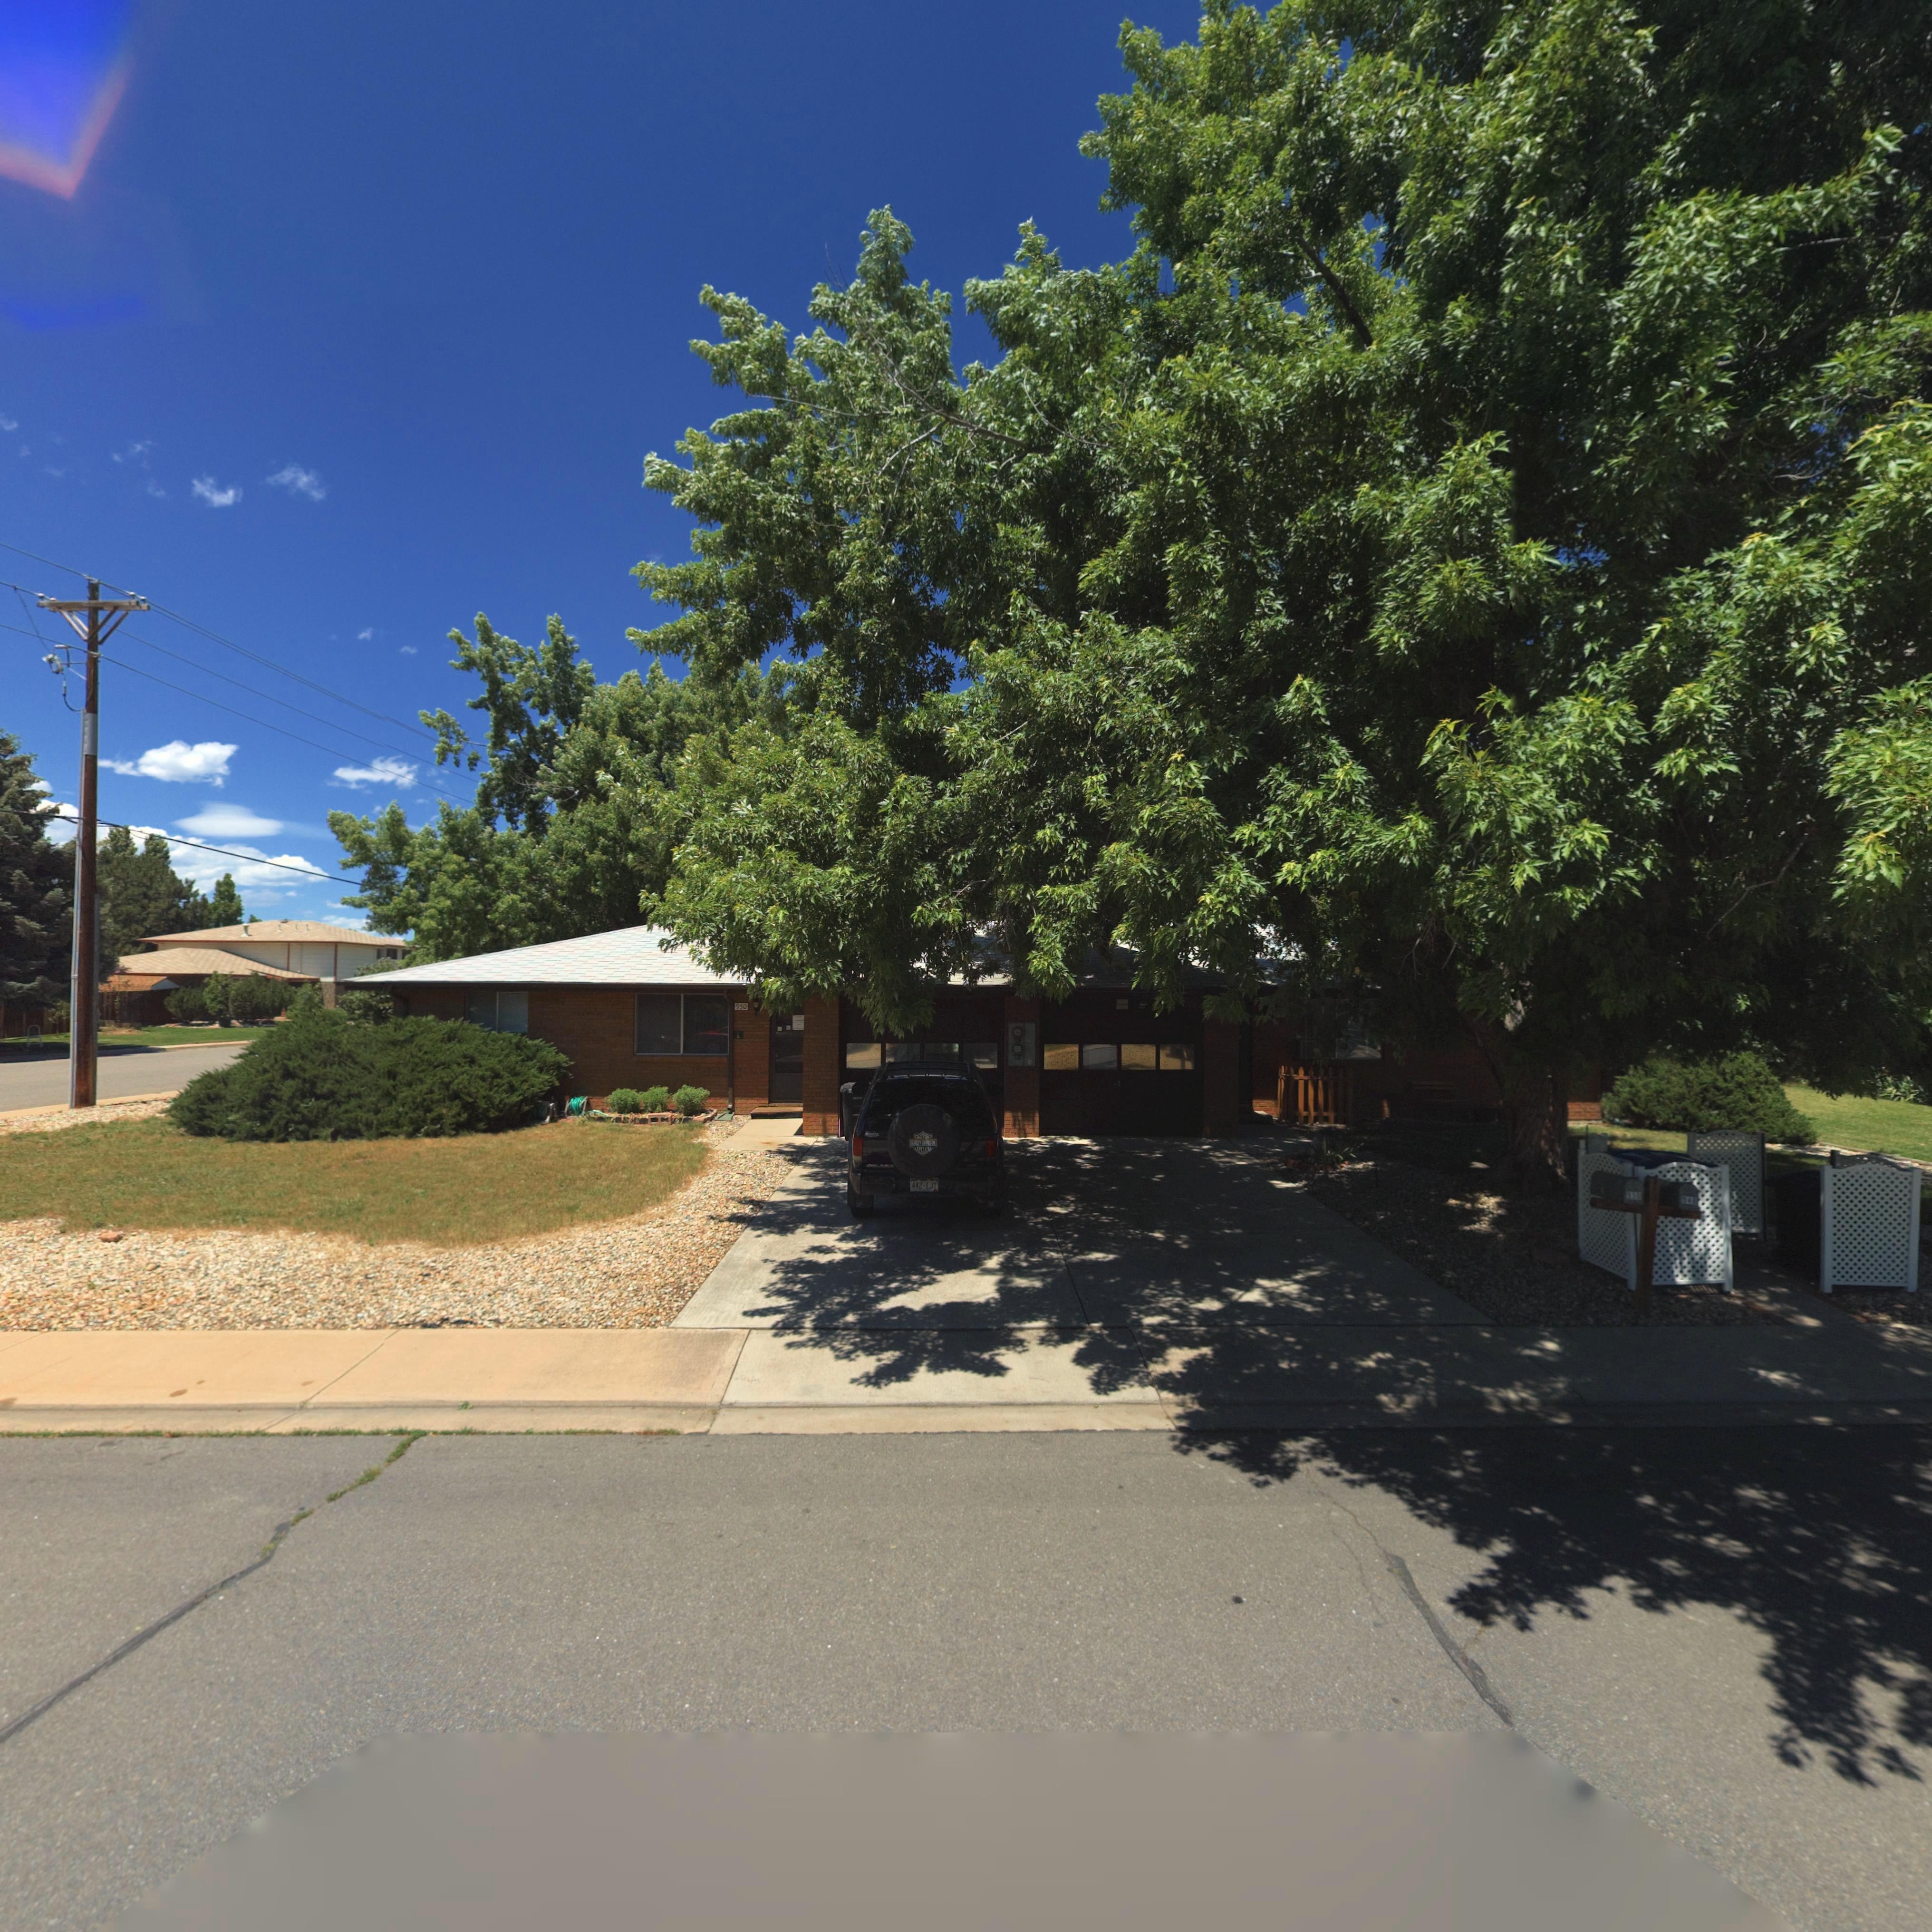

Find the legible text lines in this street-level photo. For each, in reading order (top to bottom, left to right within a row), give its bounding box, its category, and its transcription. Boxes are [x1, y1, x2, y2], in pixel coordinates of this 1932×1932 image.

[735, 1003, 747, 1009] StreetNumber: 950
[1627, 1192, 1640, 1199] StreetNumber: 950
[1682, 1196, 1696, 1203] StreetNumber: 948